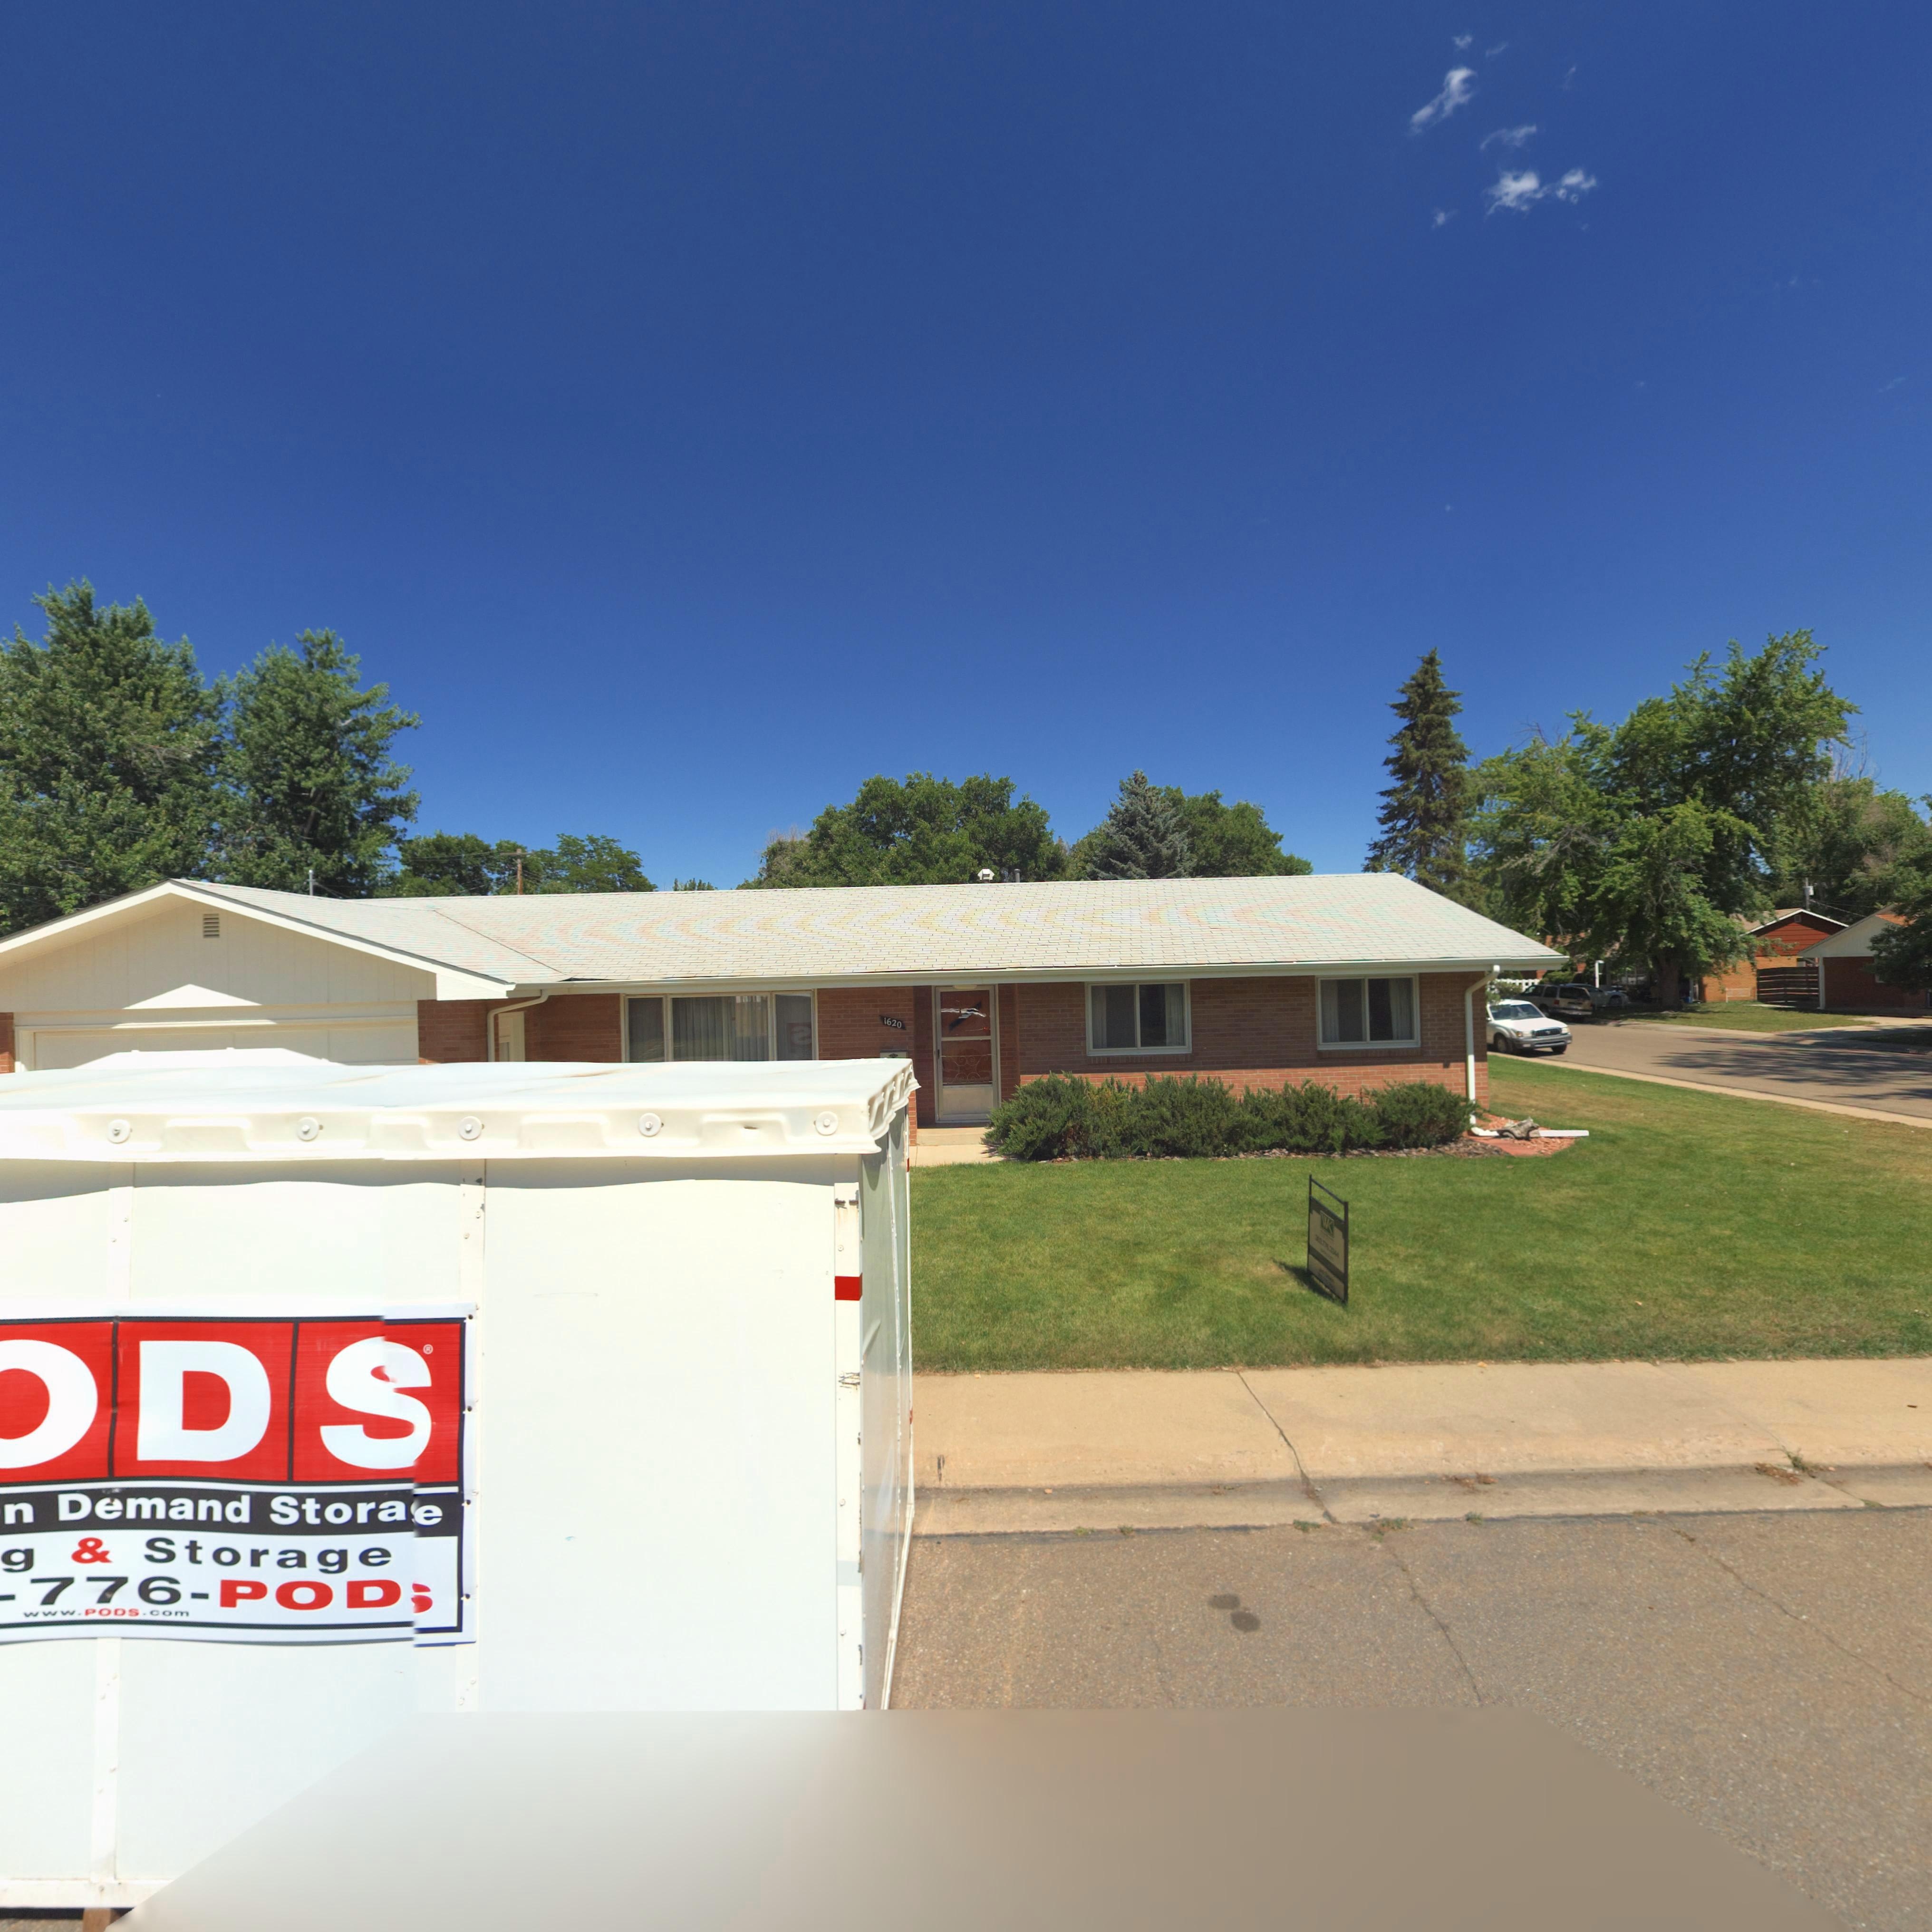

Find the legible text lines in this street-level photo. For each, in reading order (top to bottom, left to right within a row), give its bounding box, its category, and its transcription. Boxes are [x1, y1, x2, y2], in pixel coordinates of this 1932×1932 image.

[883, 1016, 902, 1029] StreetNumber: 1620